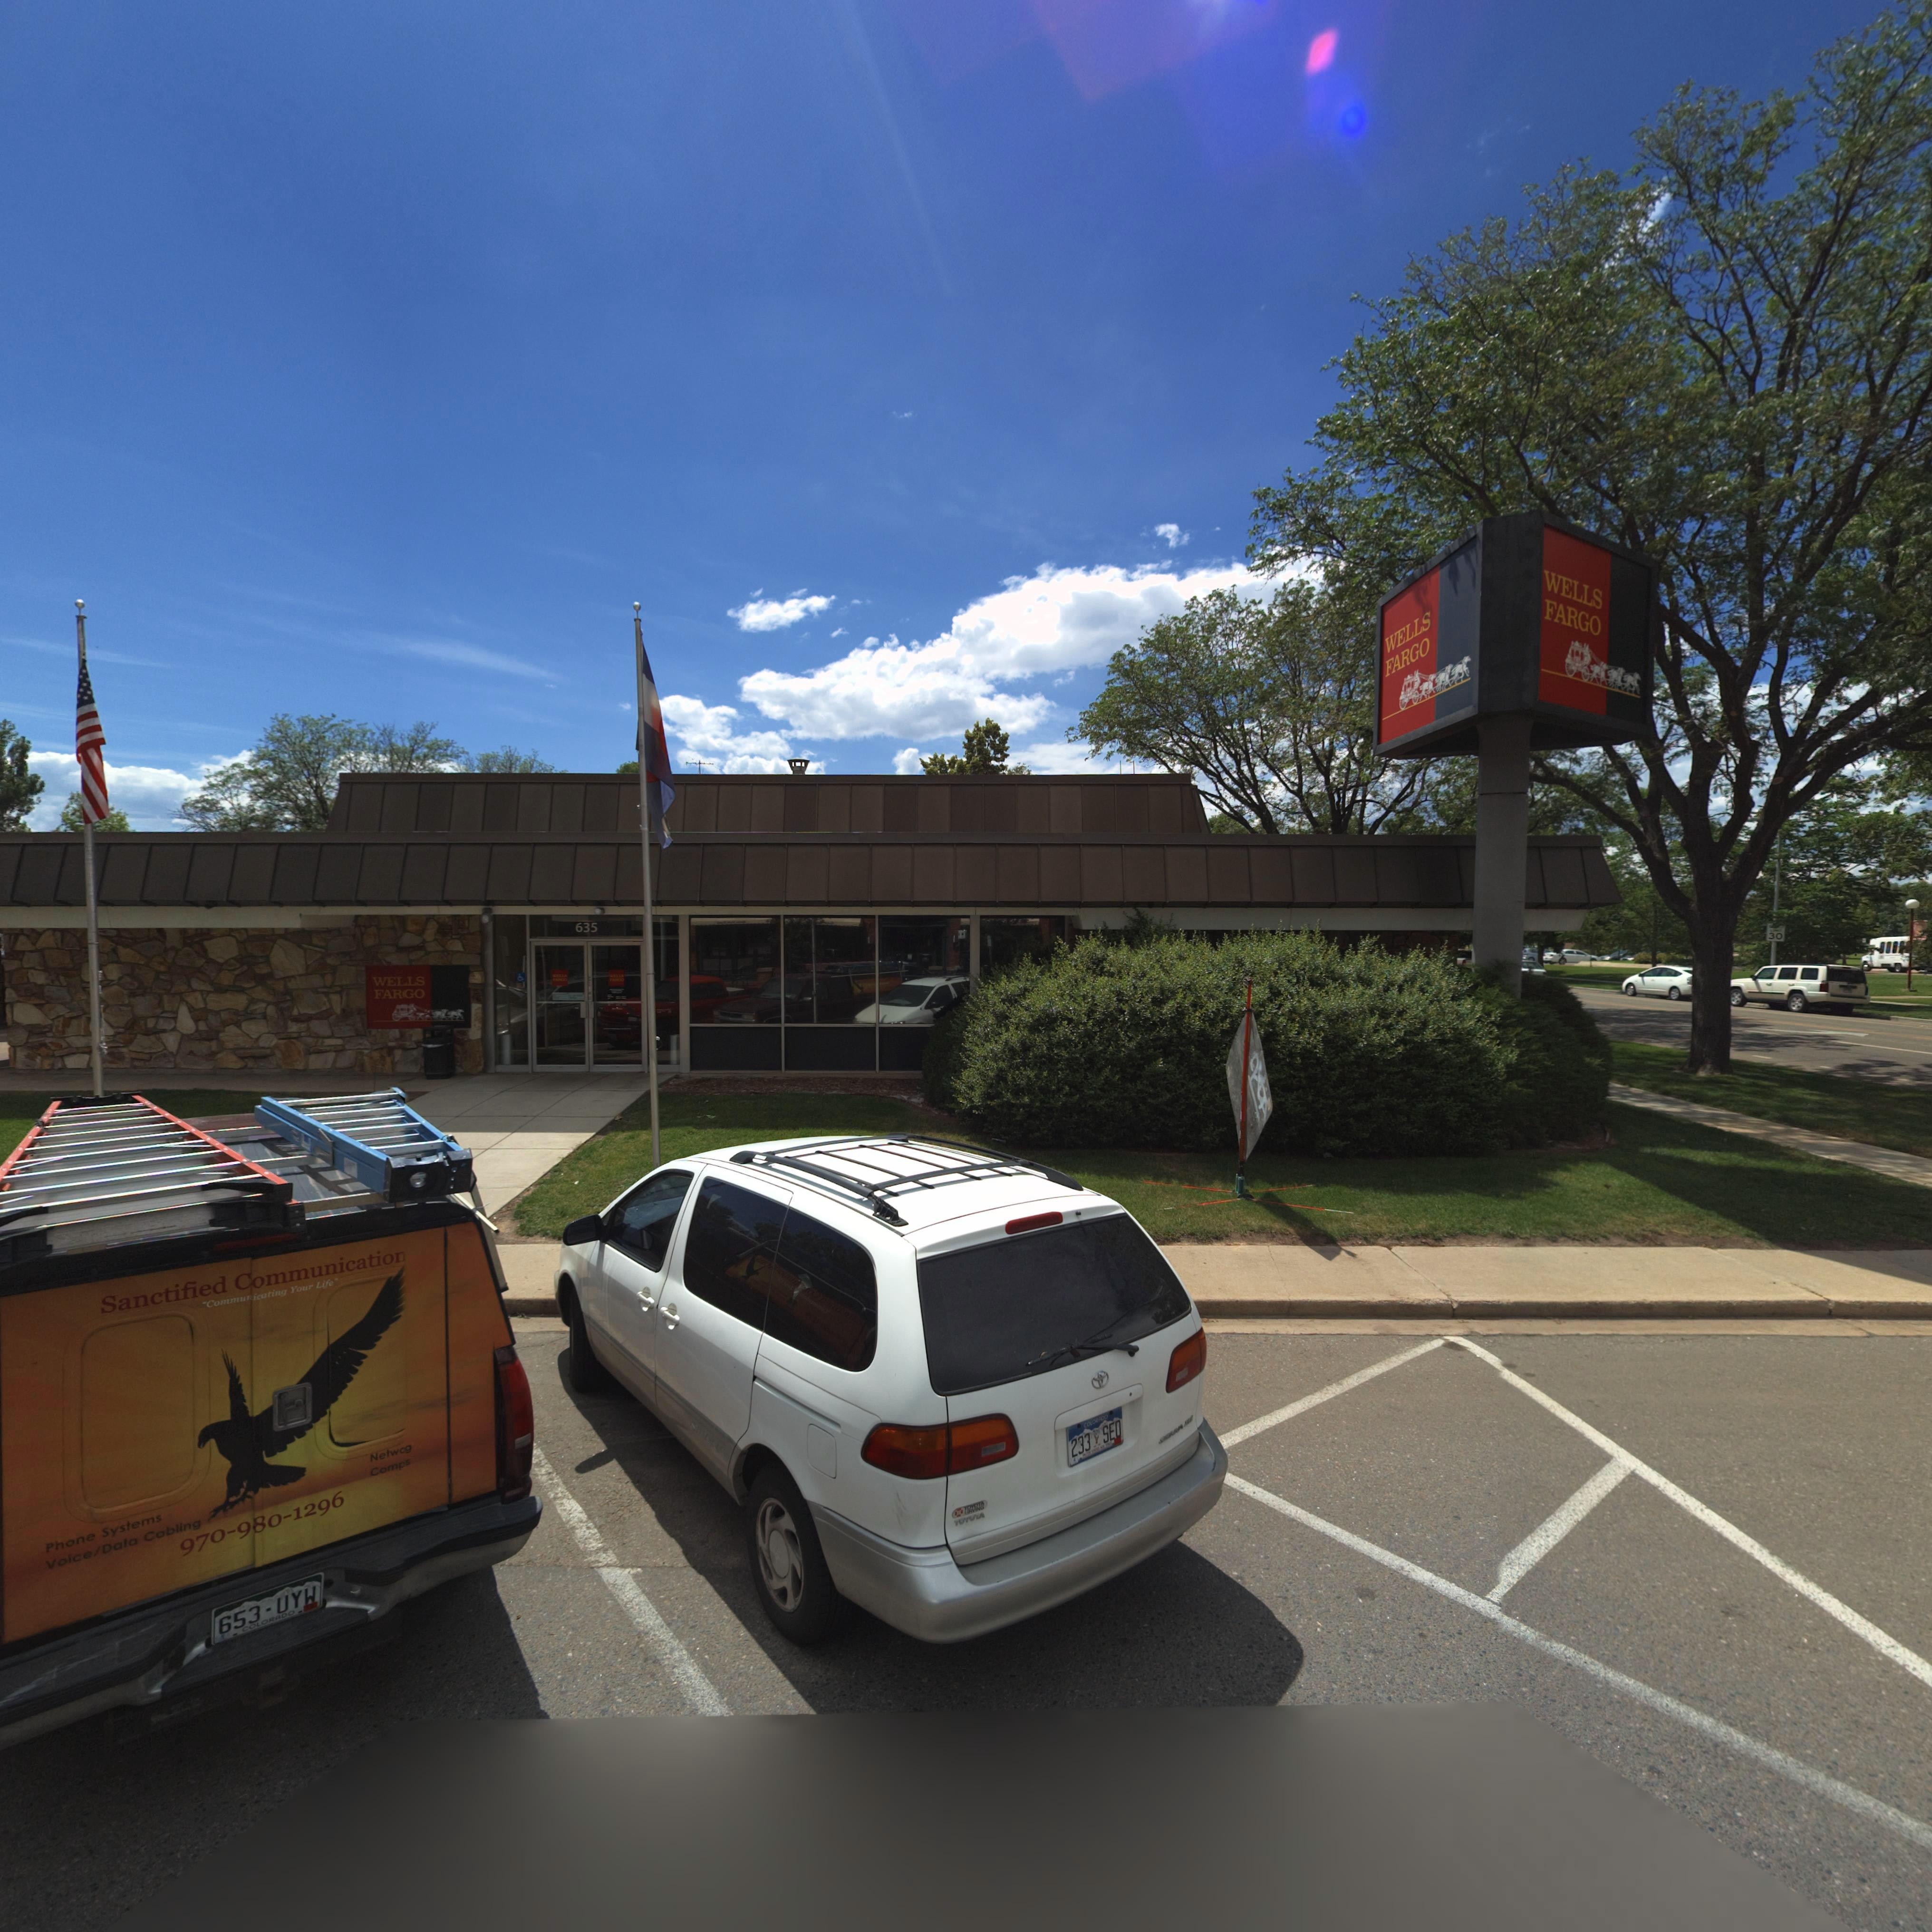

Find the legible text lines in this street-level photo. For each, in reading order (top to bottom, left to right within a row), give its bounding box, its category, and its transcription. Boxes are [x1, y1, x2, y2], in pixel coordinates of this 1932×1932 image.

[1544, 569, 1603, 609] BusinessName: WELLS
[1544, 599, 1601, 635] BusinessName: FARGO
[1384, 610, 1430, 653] BusinessName: WELLS
[1385, 637, 1430, 676] BusinessName: FARGO
[575, 922, 598, 932] StreetNumber: 635
[373, 976, 425, 986] BusinessName: WELLS
[552, 974, 567, 977] BusinessName: ***L*
[553, 978, 567, 981] BusinessName: F****O
[609, 974, 624, 977] BusinessName: W*LLS
[609, 978, 624, 981] BusinessName: FA**O
[374, 988, 425, 998] BusinessName: FARGO